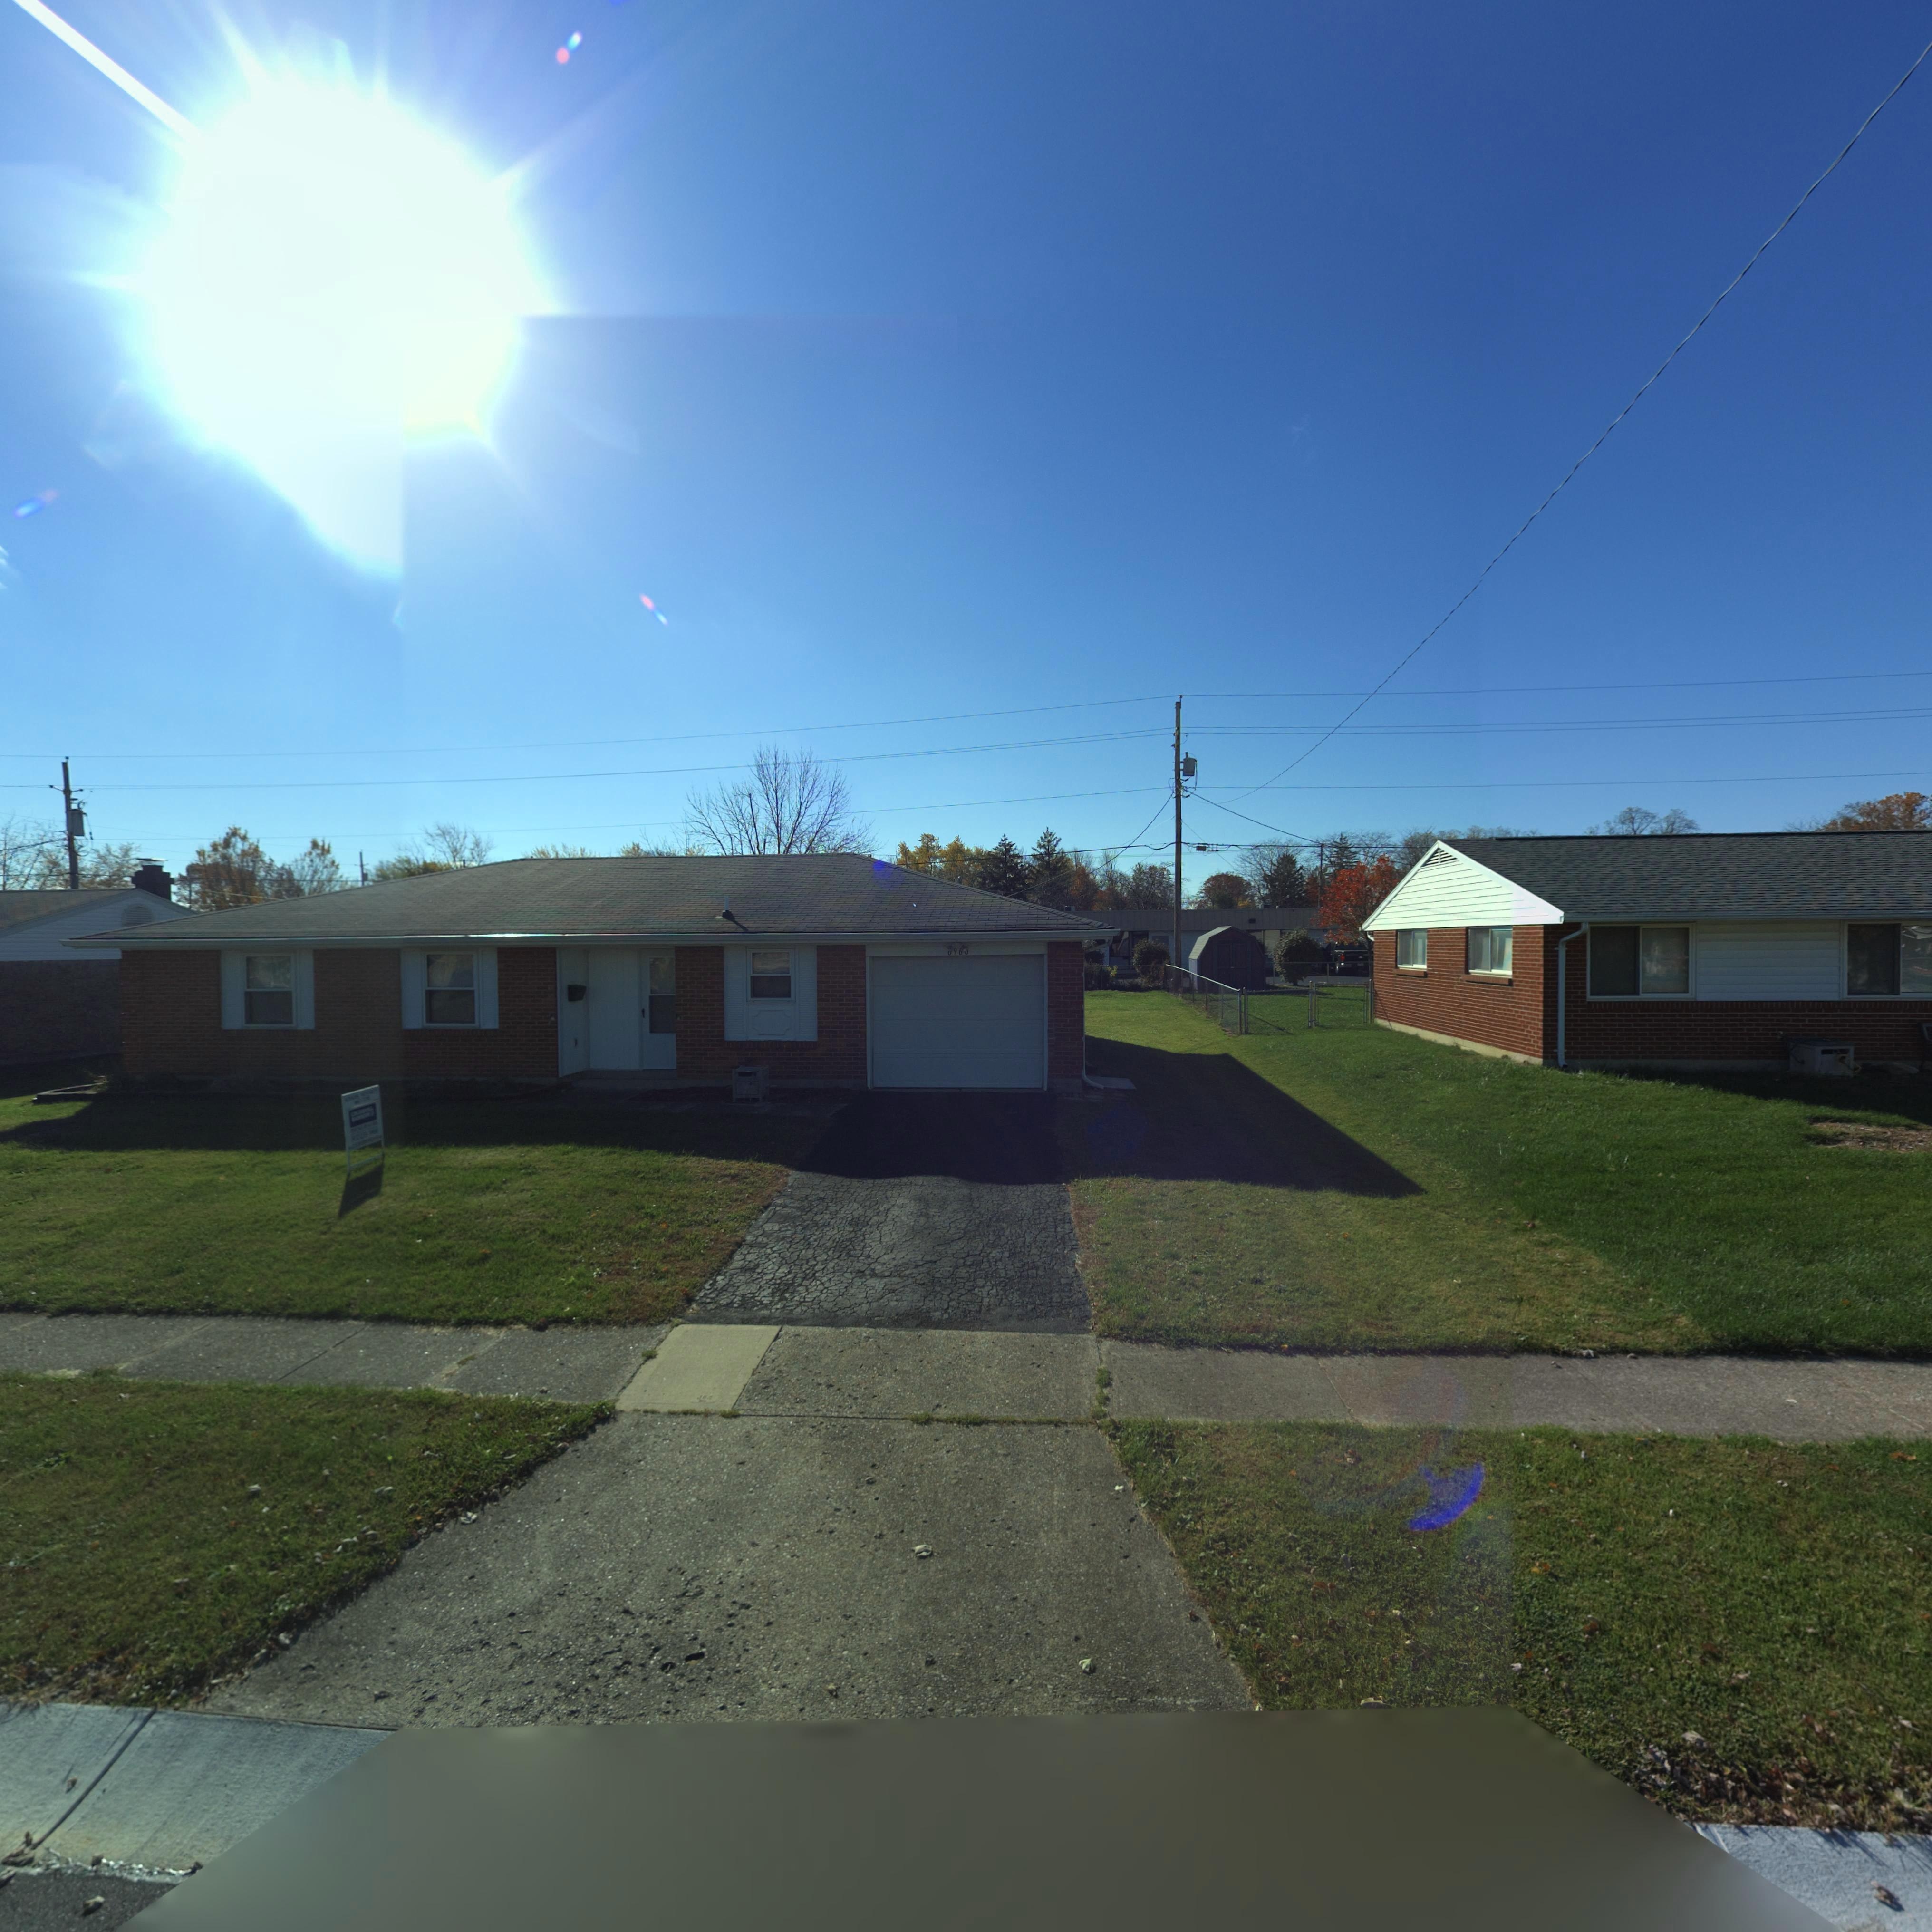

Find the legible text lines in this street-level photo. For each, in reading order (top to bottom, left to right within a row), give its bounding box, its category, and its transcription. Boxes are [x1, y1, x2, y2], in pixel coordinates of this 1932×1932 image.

[953, 947, 963, 956] StreetNumber: 96